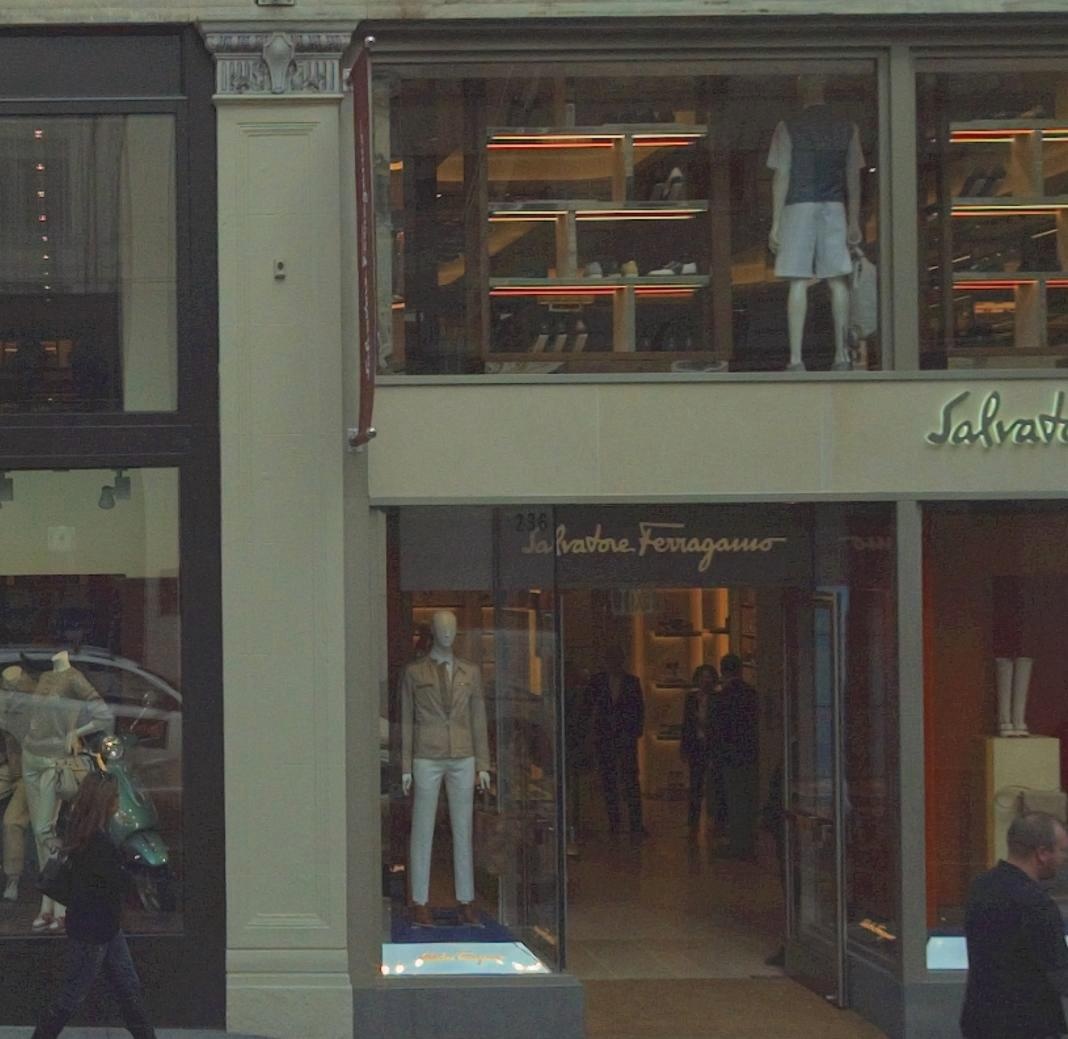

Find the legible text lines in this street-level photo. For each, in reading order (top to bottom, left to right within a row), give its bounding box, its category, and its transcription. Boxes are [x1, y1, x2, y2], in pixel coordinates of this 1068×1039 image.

[914, 385, 1067, 452] BusinessName: Salvat
[510, 509, 555, 536] StreetNumber: 236
[515, 515, 790, 582] BusinessName: Salvatore Ferragamo